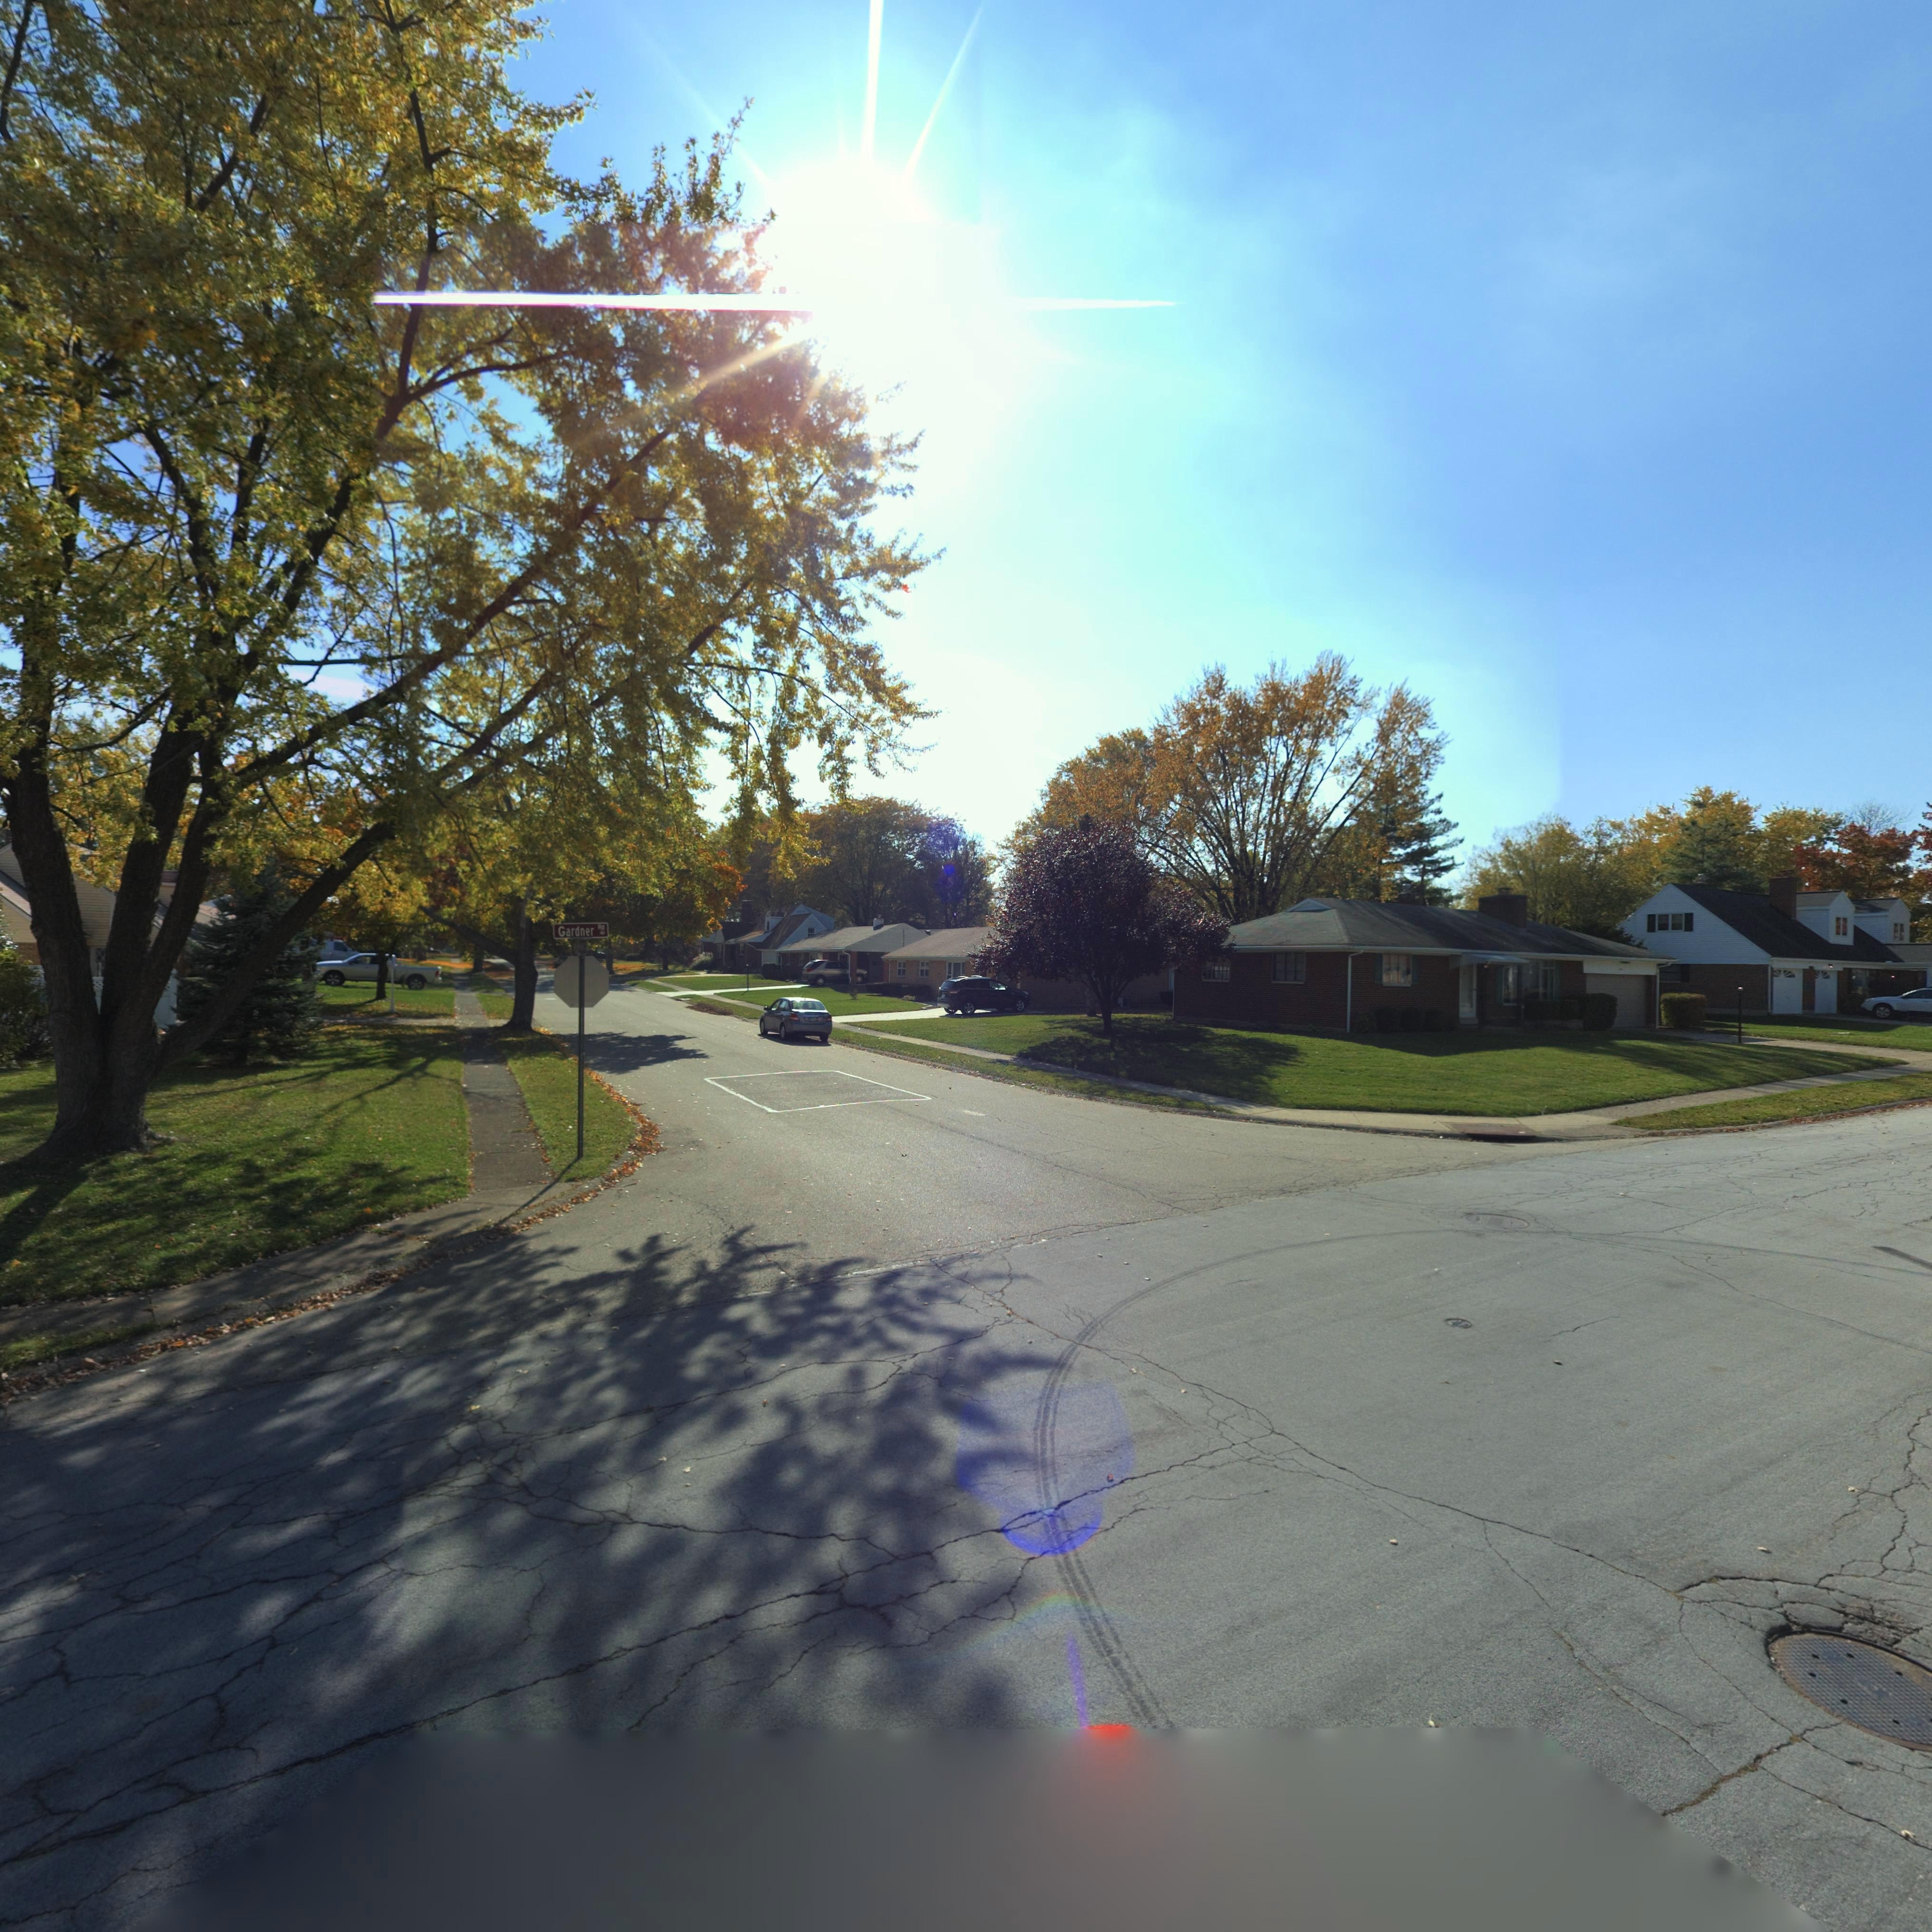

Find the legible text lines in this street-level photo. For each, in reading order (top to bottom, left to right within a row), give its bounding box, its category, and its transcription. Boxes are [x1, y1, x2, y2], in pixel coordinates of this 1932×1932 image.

[557, 924, 605, 937] StreetName: Gardner Rd